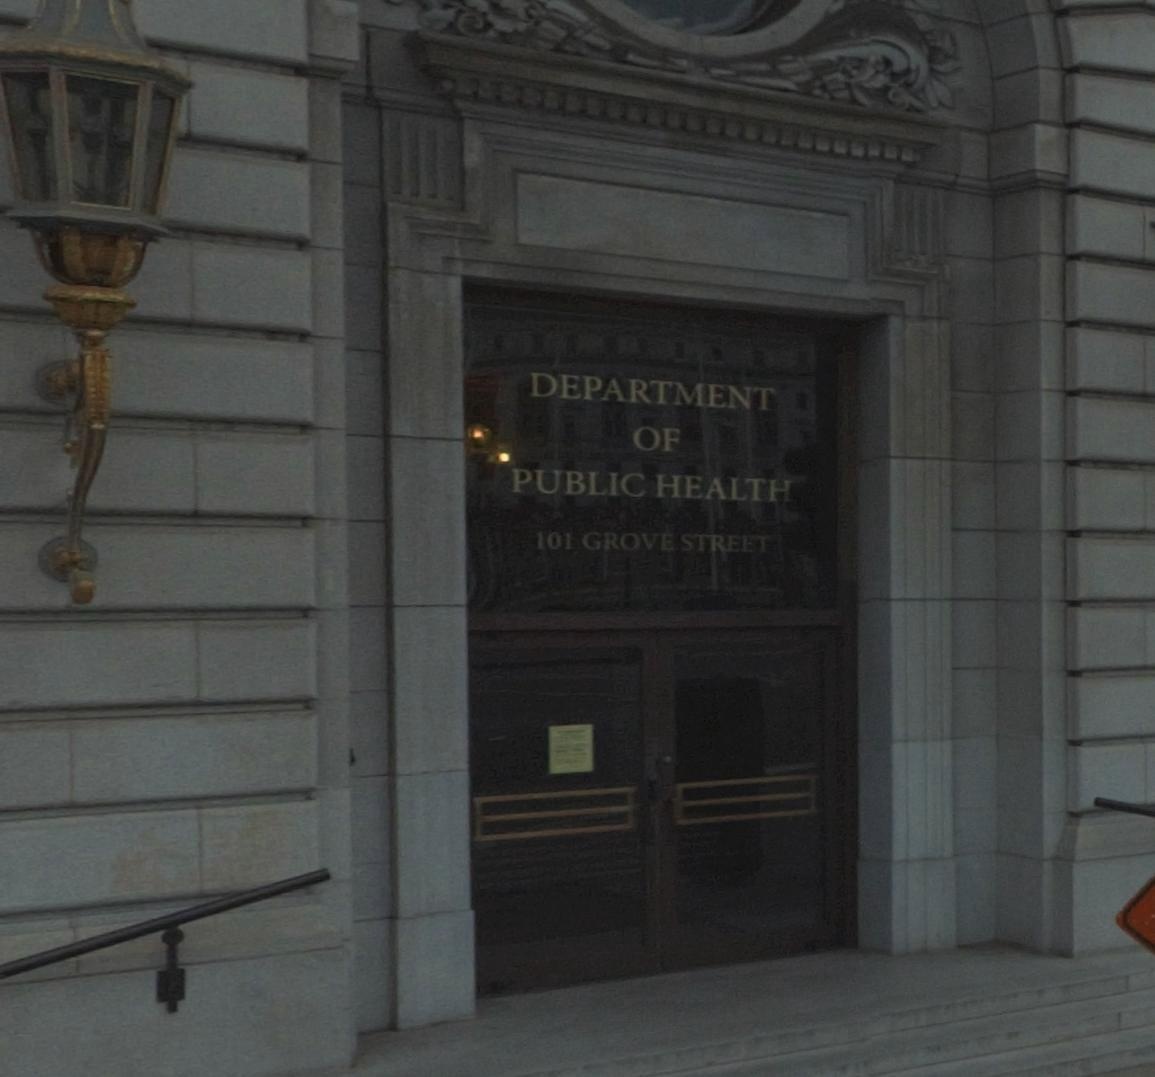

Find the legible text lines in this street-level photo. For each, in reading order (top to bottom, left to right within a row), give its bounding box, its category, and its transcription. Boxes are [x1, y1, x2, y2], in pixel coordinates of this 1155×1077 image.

[529, 370, 779, 412] BusinessName: DEPARTMENT
[632, 424, 682, 453] BusinessName: OF
[509, 466, 794, 504] BusinessName: PUBLIC HEALTH
[534, 530, 575, 551] StreetNumber: 101
[580, 529, 770, 555] StreetName: GROVE STREET